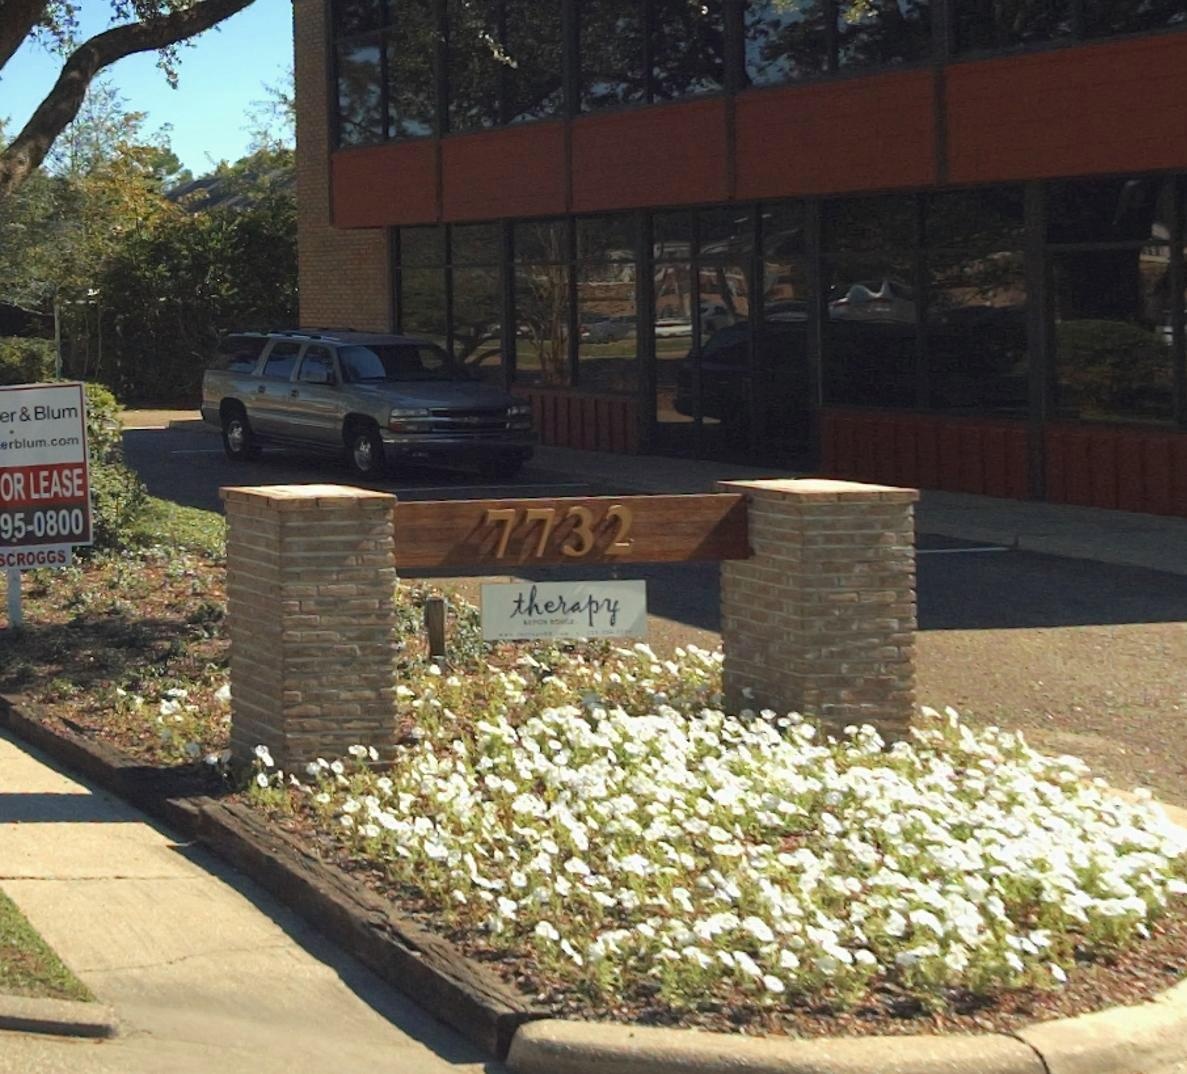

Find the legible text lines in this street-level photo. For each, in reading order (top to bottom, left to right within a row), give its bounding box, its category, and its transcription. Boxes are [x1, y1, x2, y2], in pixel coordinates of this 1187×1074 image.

[0, 401, 82, 427] BusinessName: er & Blum
[0, 435, 83, 454] None: erblum.com
[0, 464, 87, 504] None: OR LEASE
[0, 505, 87, 543] None: 95-0800
[482, 499, 639, 562] StreetNumber: 7732
[4, 547, 69, 569] None: CROGGS
[505, 580, 625, 632] BusinessName: therapy